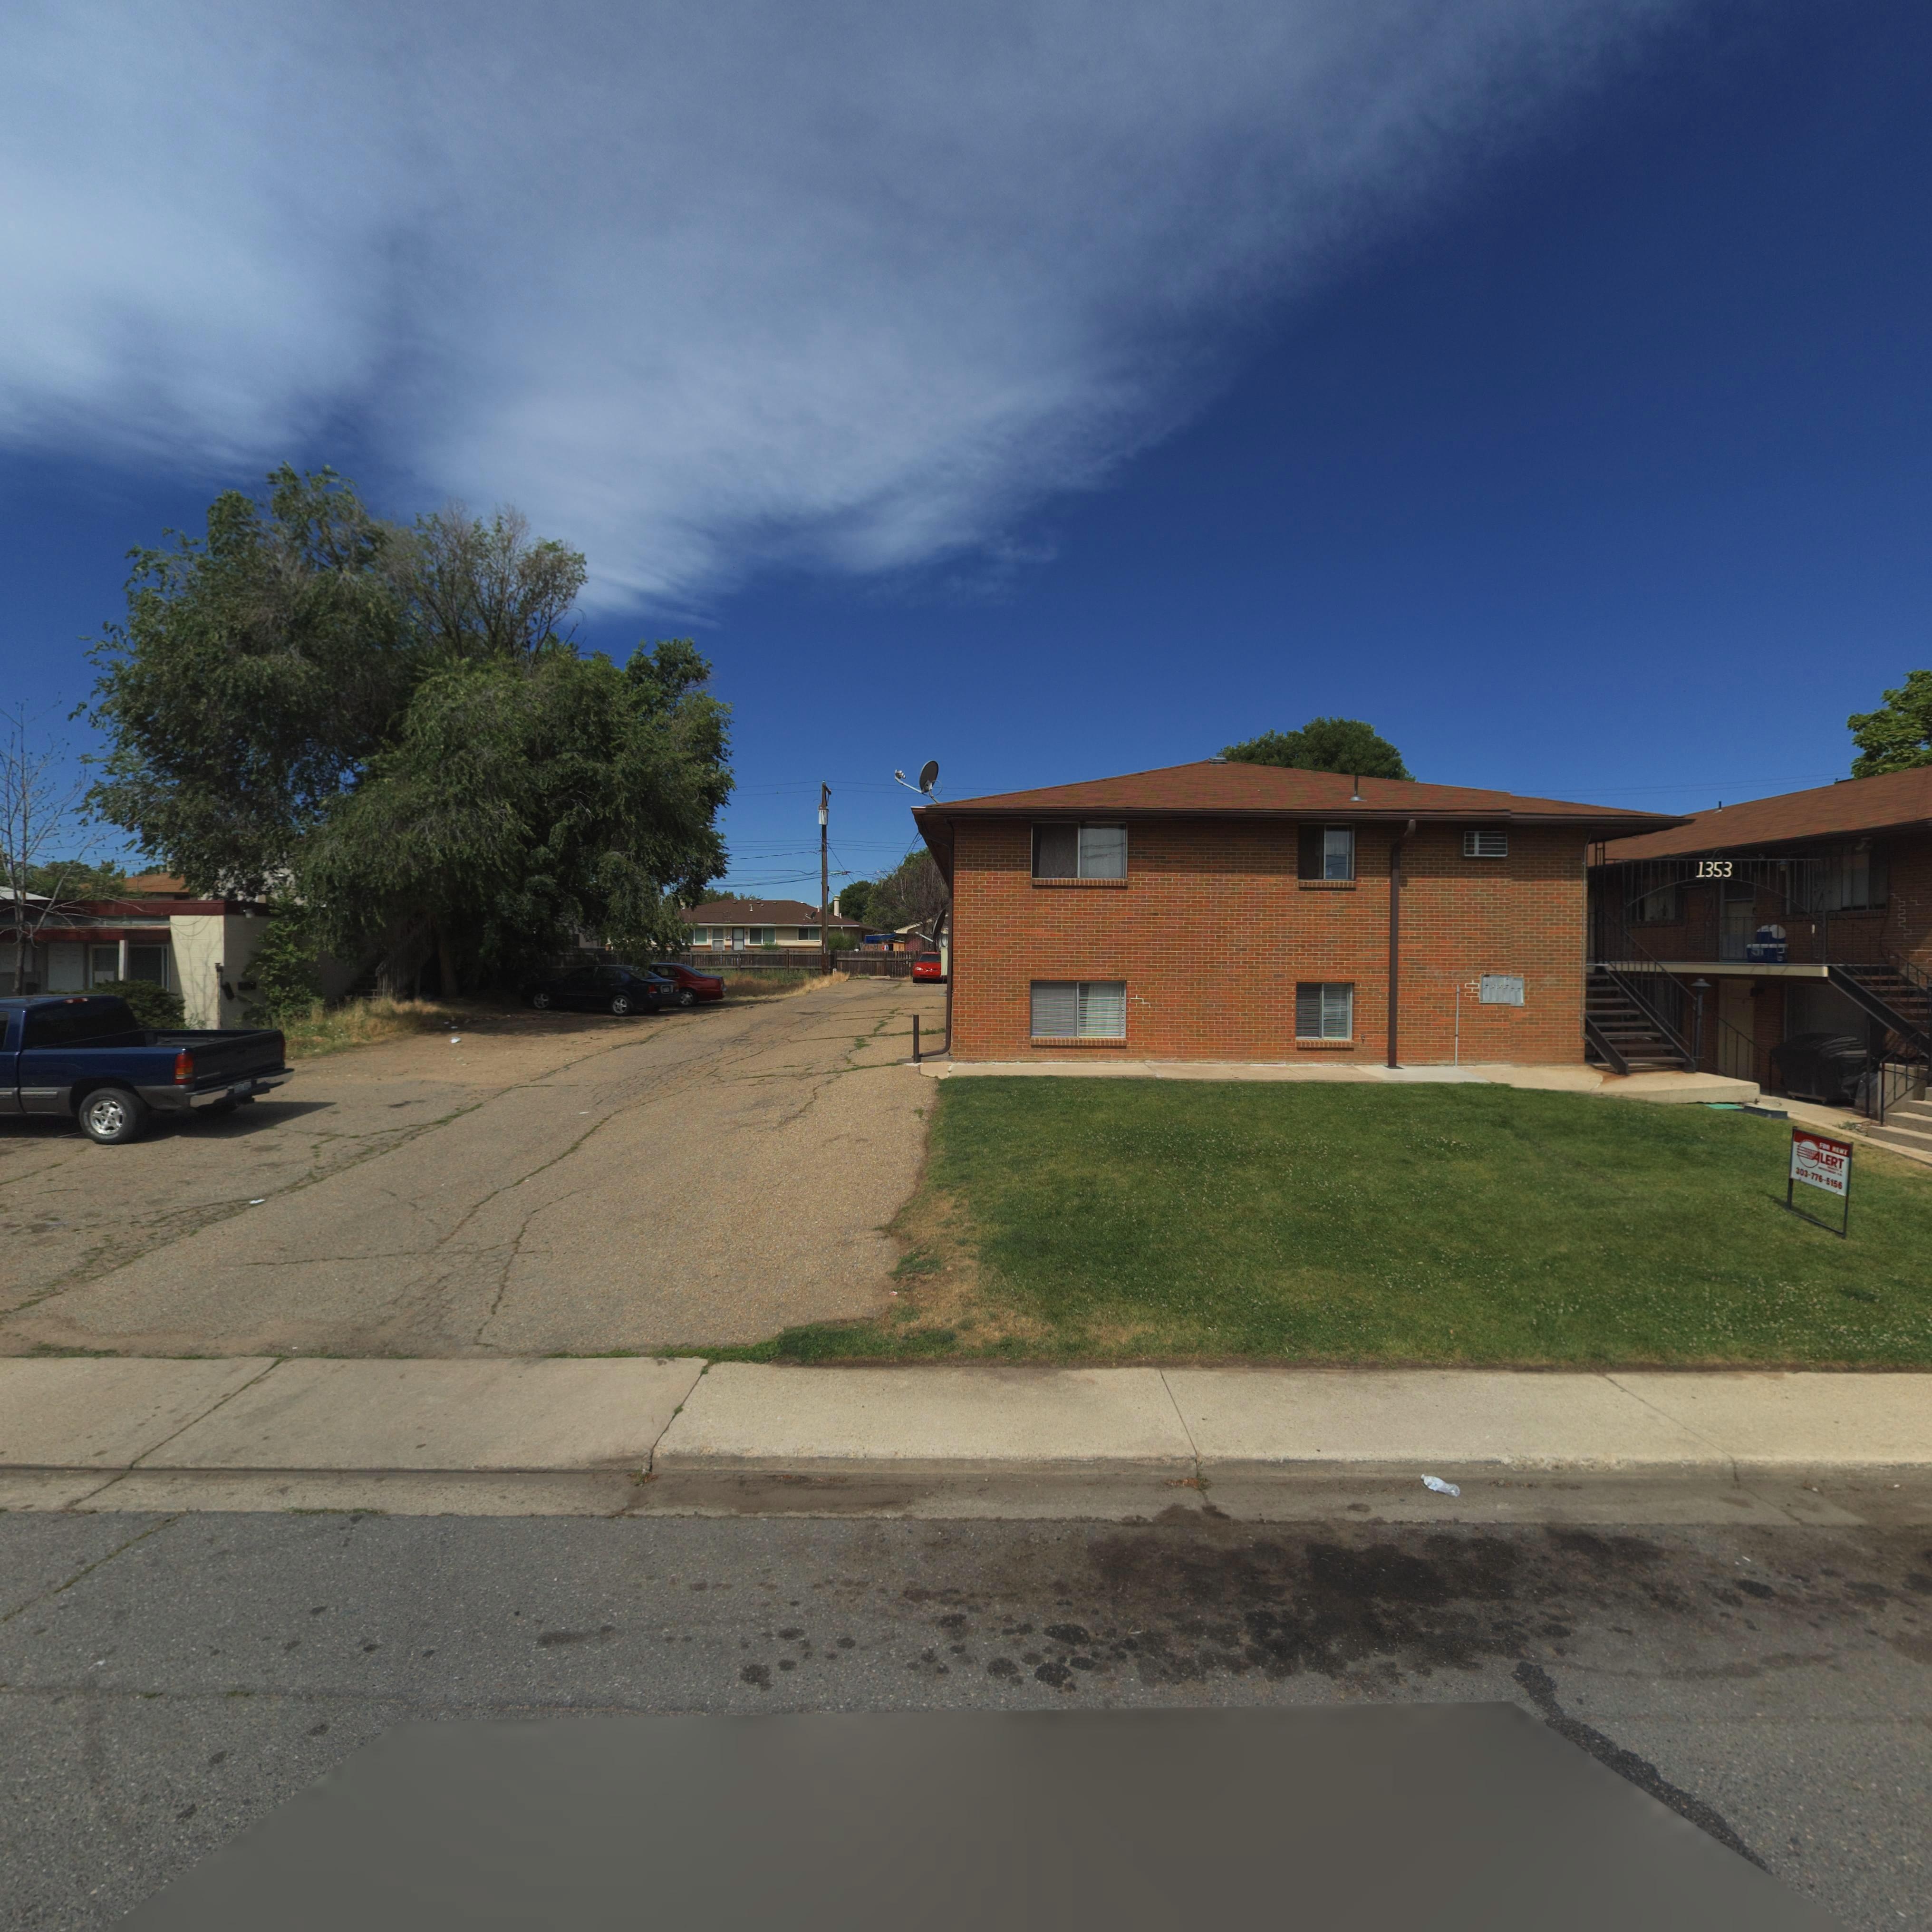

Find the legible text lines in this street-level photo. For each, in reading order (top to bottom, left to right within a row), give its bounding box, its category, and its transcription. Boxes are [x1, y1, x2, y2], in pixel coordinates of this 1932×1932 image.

[1695, 861, 1733, 878] StreetNumber: 1353